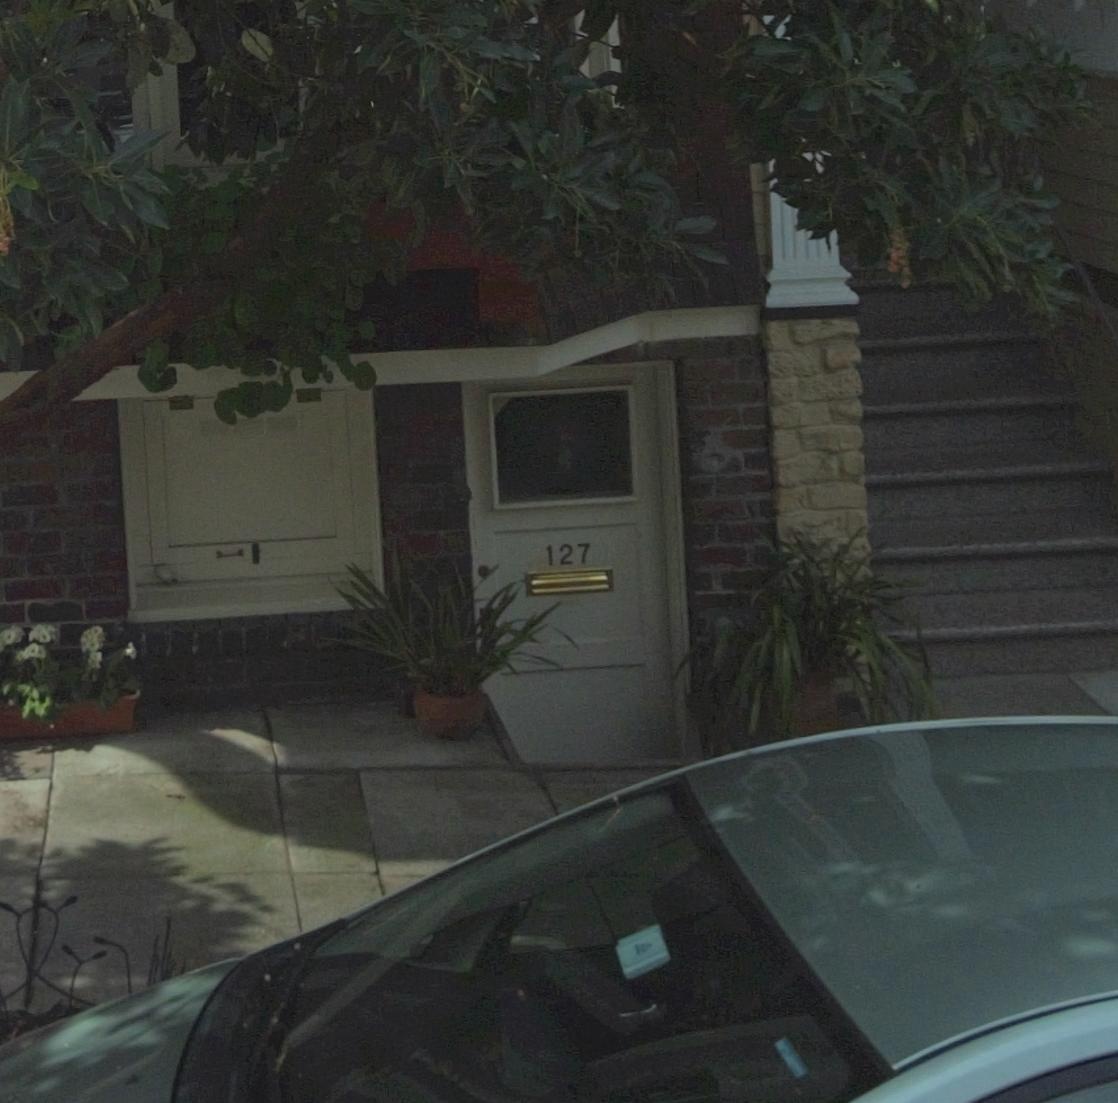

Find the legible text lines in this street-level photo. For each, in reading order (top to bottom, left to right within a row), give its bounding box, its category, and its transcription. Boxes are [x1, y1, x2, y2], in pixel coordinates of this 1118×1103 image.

[543, 540, 595, 568] StreetNumber: 127